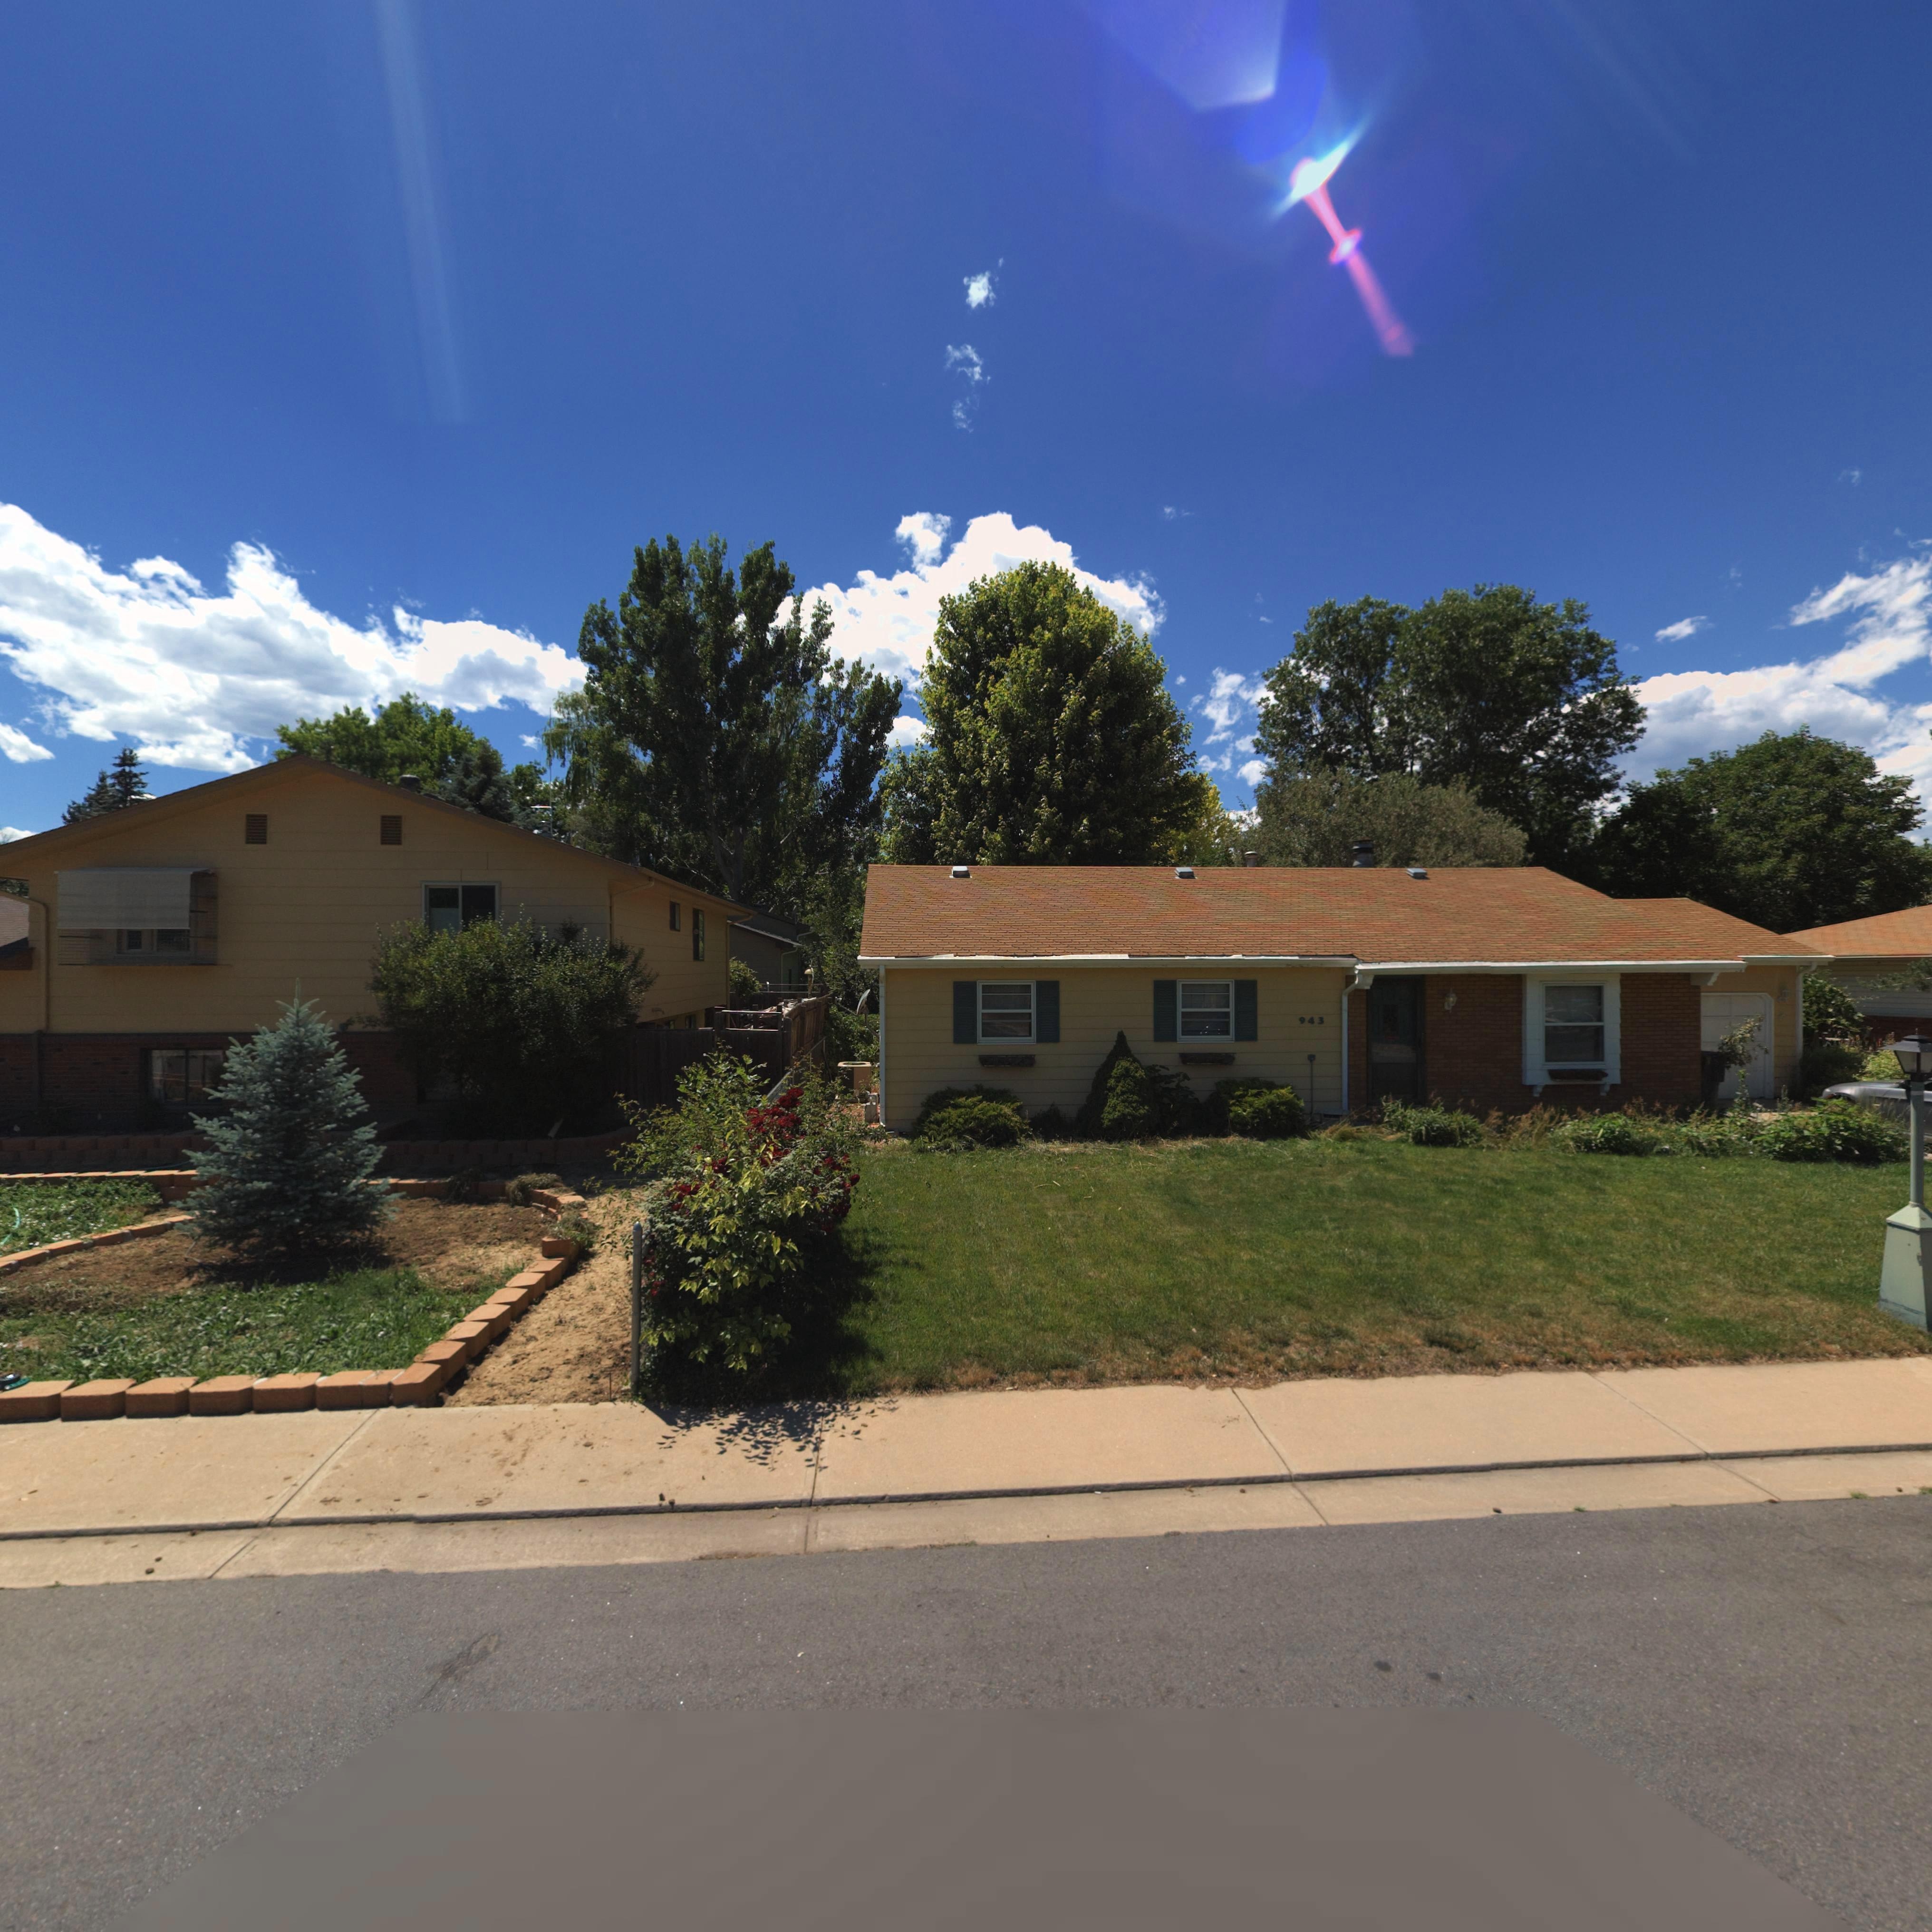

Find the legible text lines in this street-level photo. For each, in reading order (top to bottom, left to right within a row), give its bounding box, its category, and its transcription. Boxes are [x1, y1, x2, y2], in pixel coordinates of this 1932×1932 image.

[1298, 1016, 1324, 1025] StreetNumber: 943